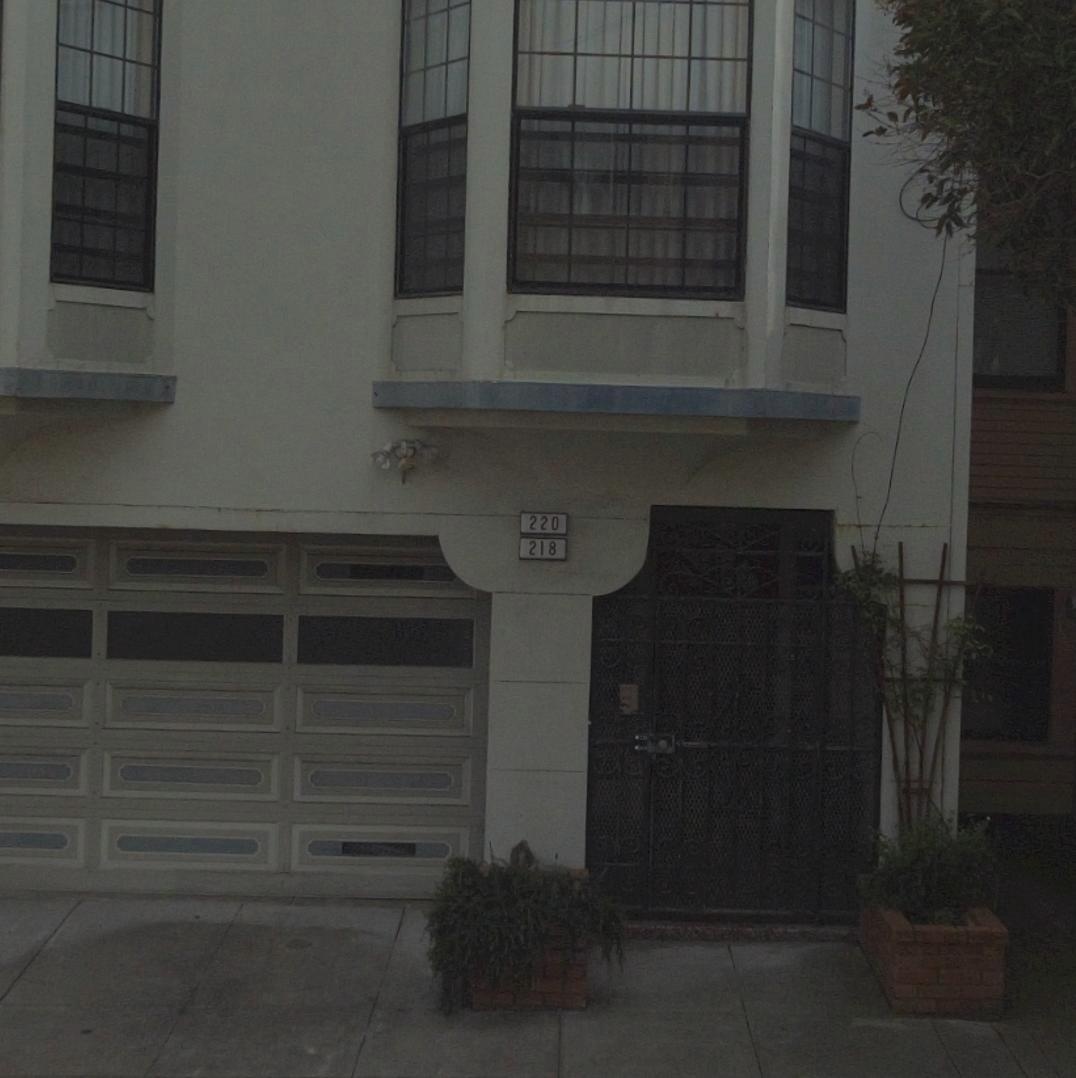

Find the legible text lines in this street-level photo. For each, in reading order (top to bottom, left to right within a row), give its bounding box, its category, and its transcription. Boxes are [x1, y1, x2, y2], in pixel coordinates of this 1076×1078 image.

[528, 514, 560, 531] StreetNumber: 220
[527, 539, 558, 557] StreetNumber: 218